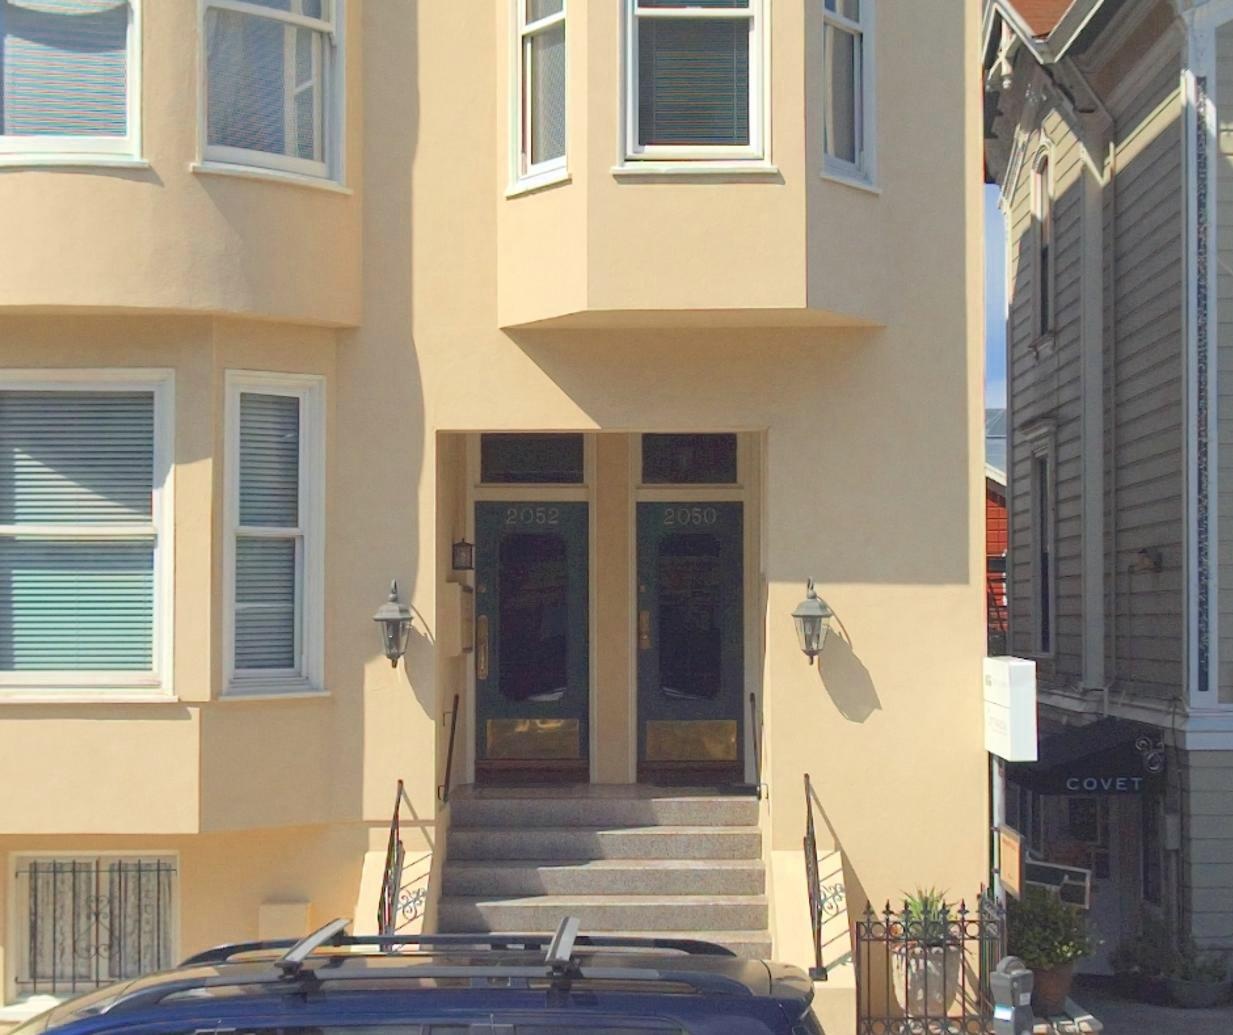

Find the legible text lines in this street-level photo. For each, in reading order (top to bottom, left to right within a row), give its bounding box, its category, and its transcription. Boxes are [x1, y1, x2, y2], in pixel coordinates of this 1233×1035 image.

[506, 507, 560, 526] StreetNumber: 2052
[663, 507, 717, 526] StreetNumber: 2050
[1065, 775, 1143, 792] BusinessName: COVET